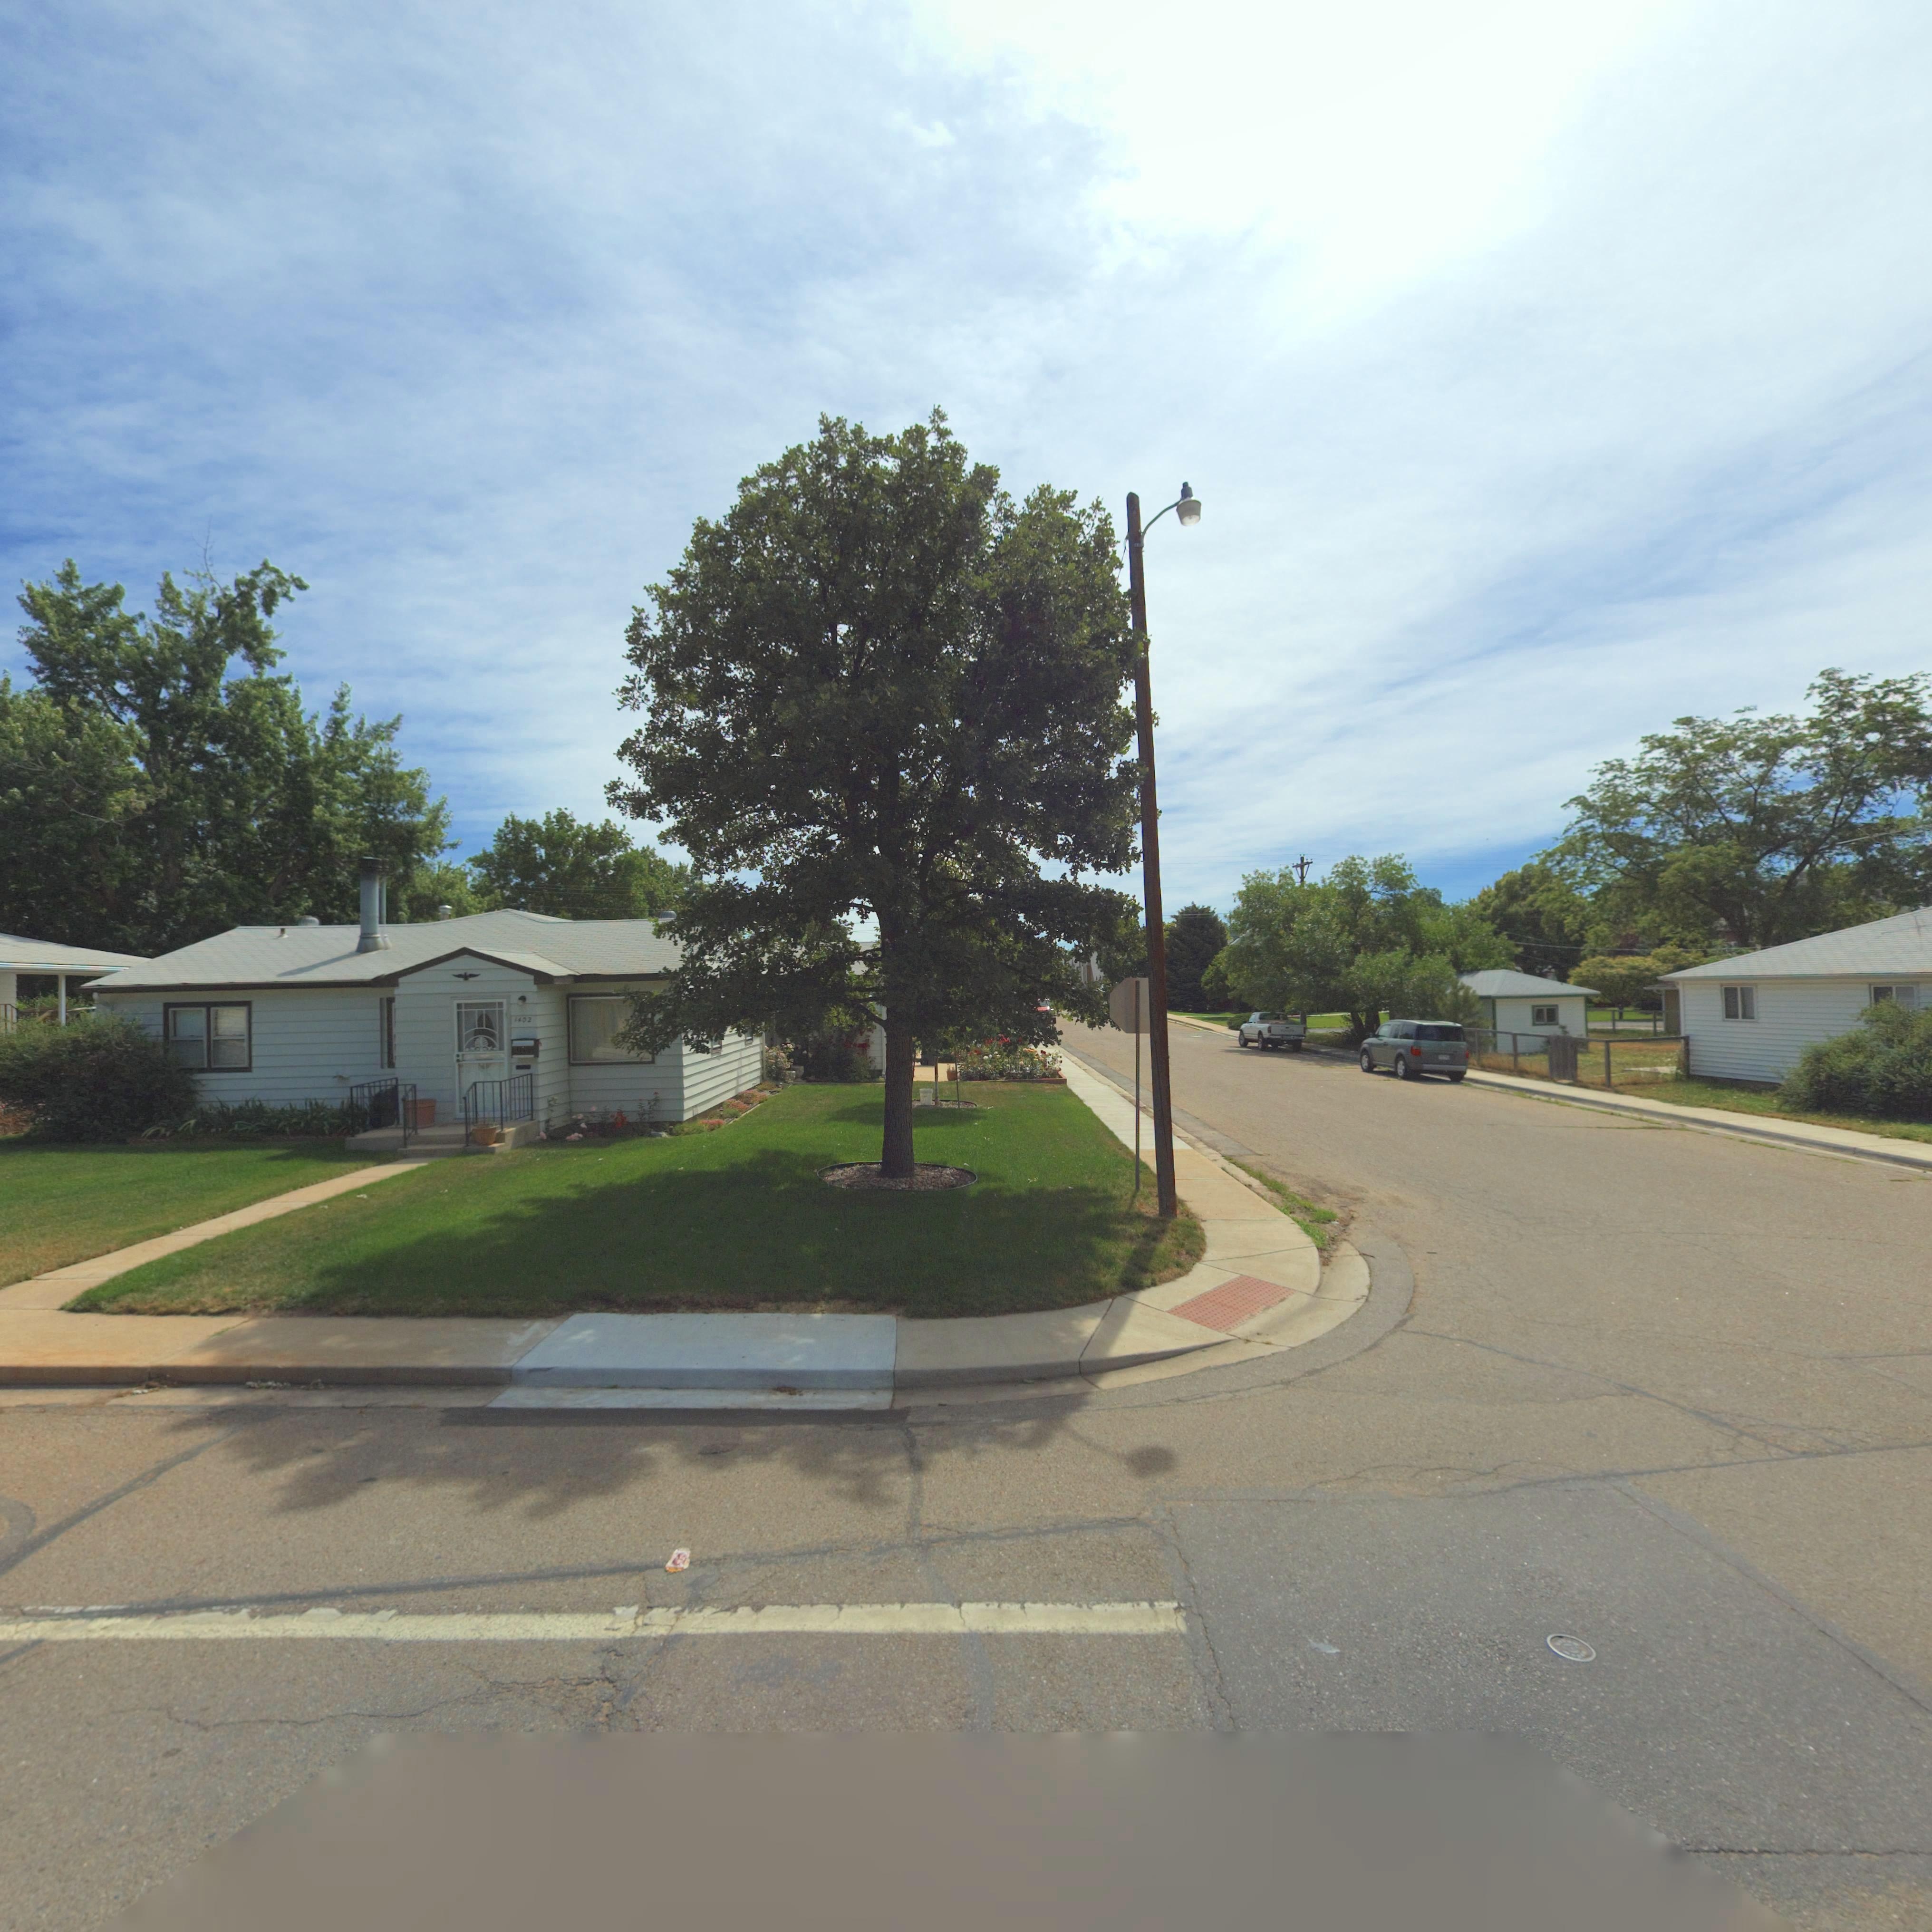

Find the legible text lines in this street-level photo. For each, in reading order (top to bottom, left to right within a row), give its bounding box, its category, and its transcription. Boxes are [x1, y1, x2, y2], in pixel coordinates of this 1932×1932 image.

[514, 1016, 531, 1023] StreetNumber: 1*02